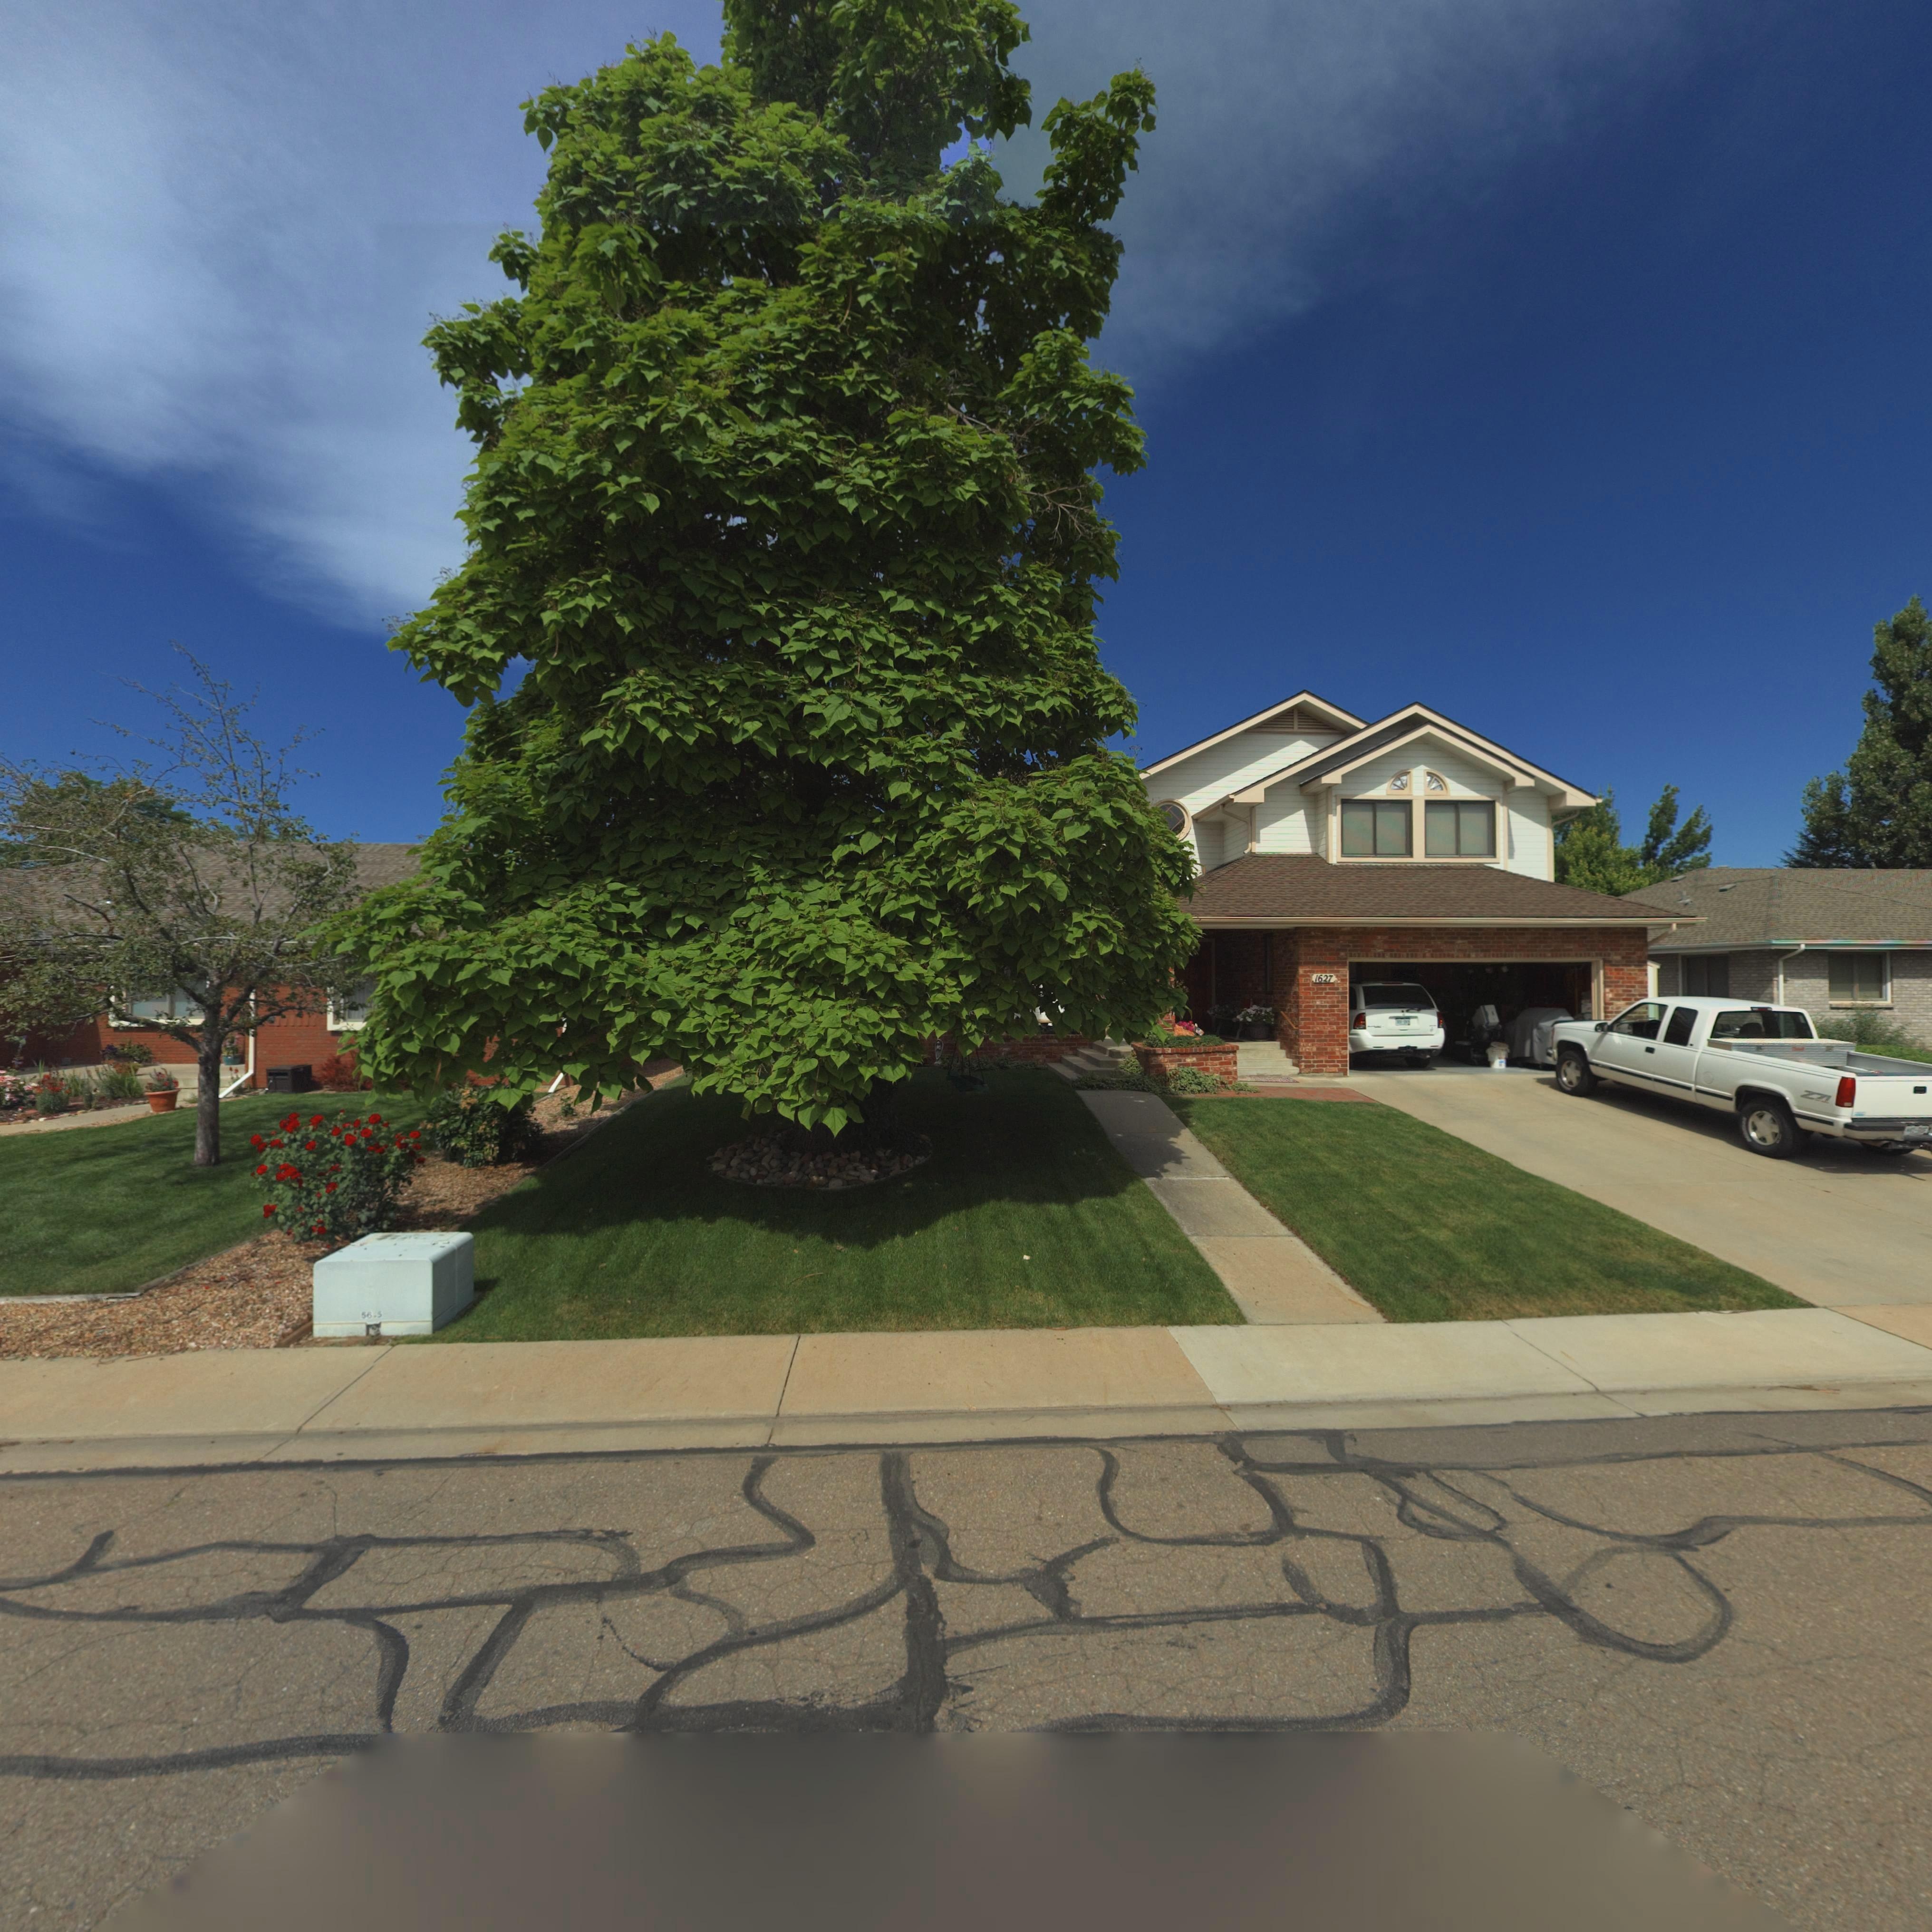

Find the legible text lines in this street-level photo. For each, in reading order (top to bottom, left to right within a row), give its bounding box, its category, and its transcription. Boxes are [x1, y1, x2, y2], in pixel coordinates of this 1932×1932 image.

[1314, 974, 1333, 983] StreetNumber: 1627